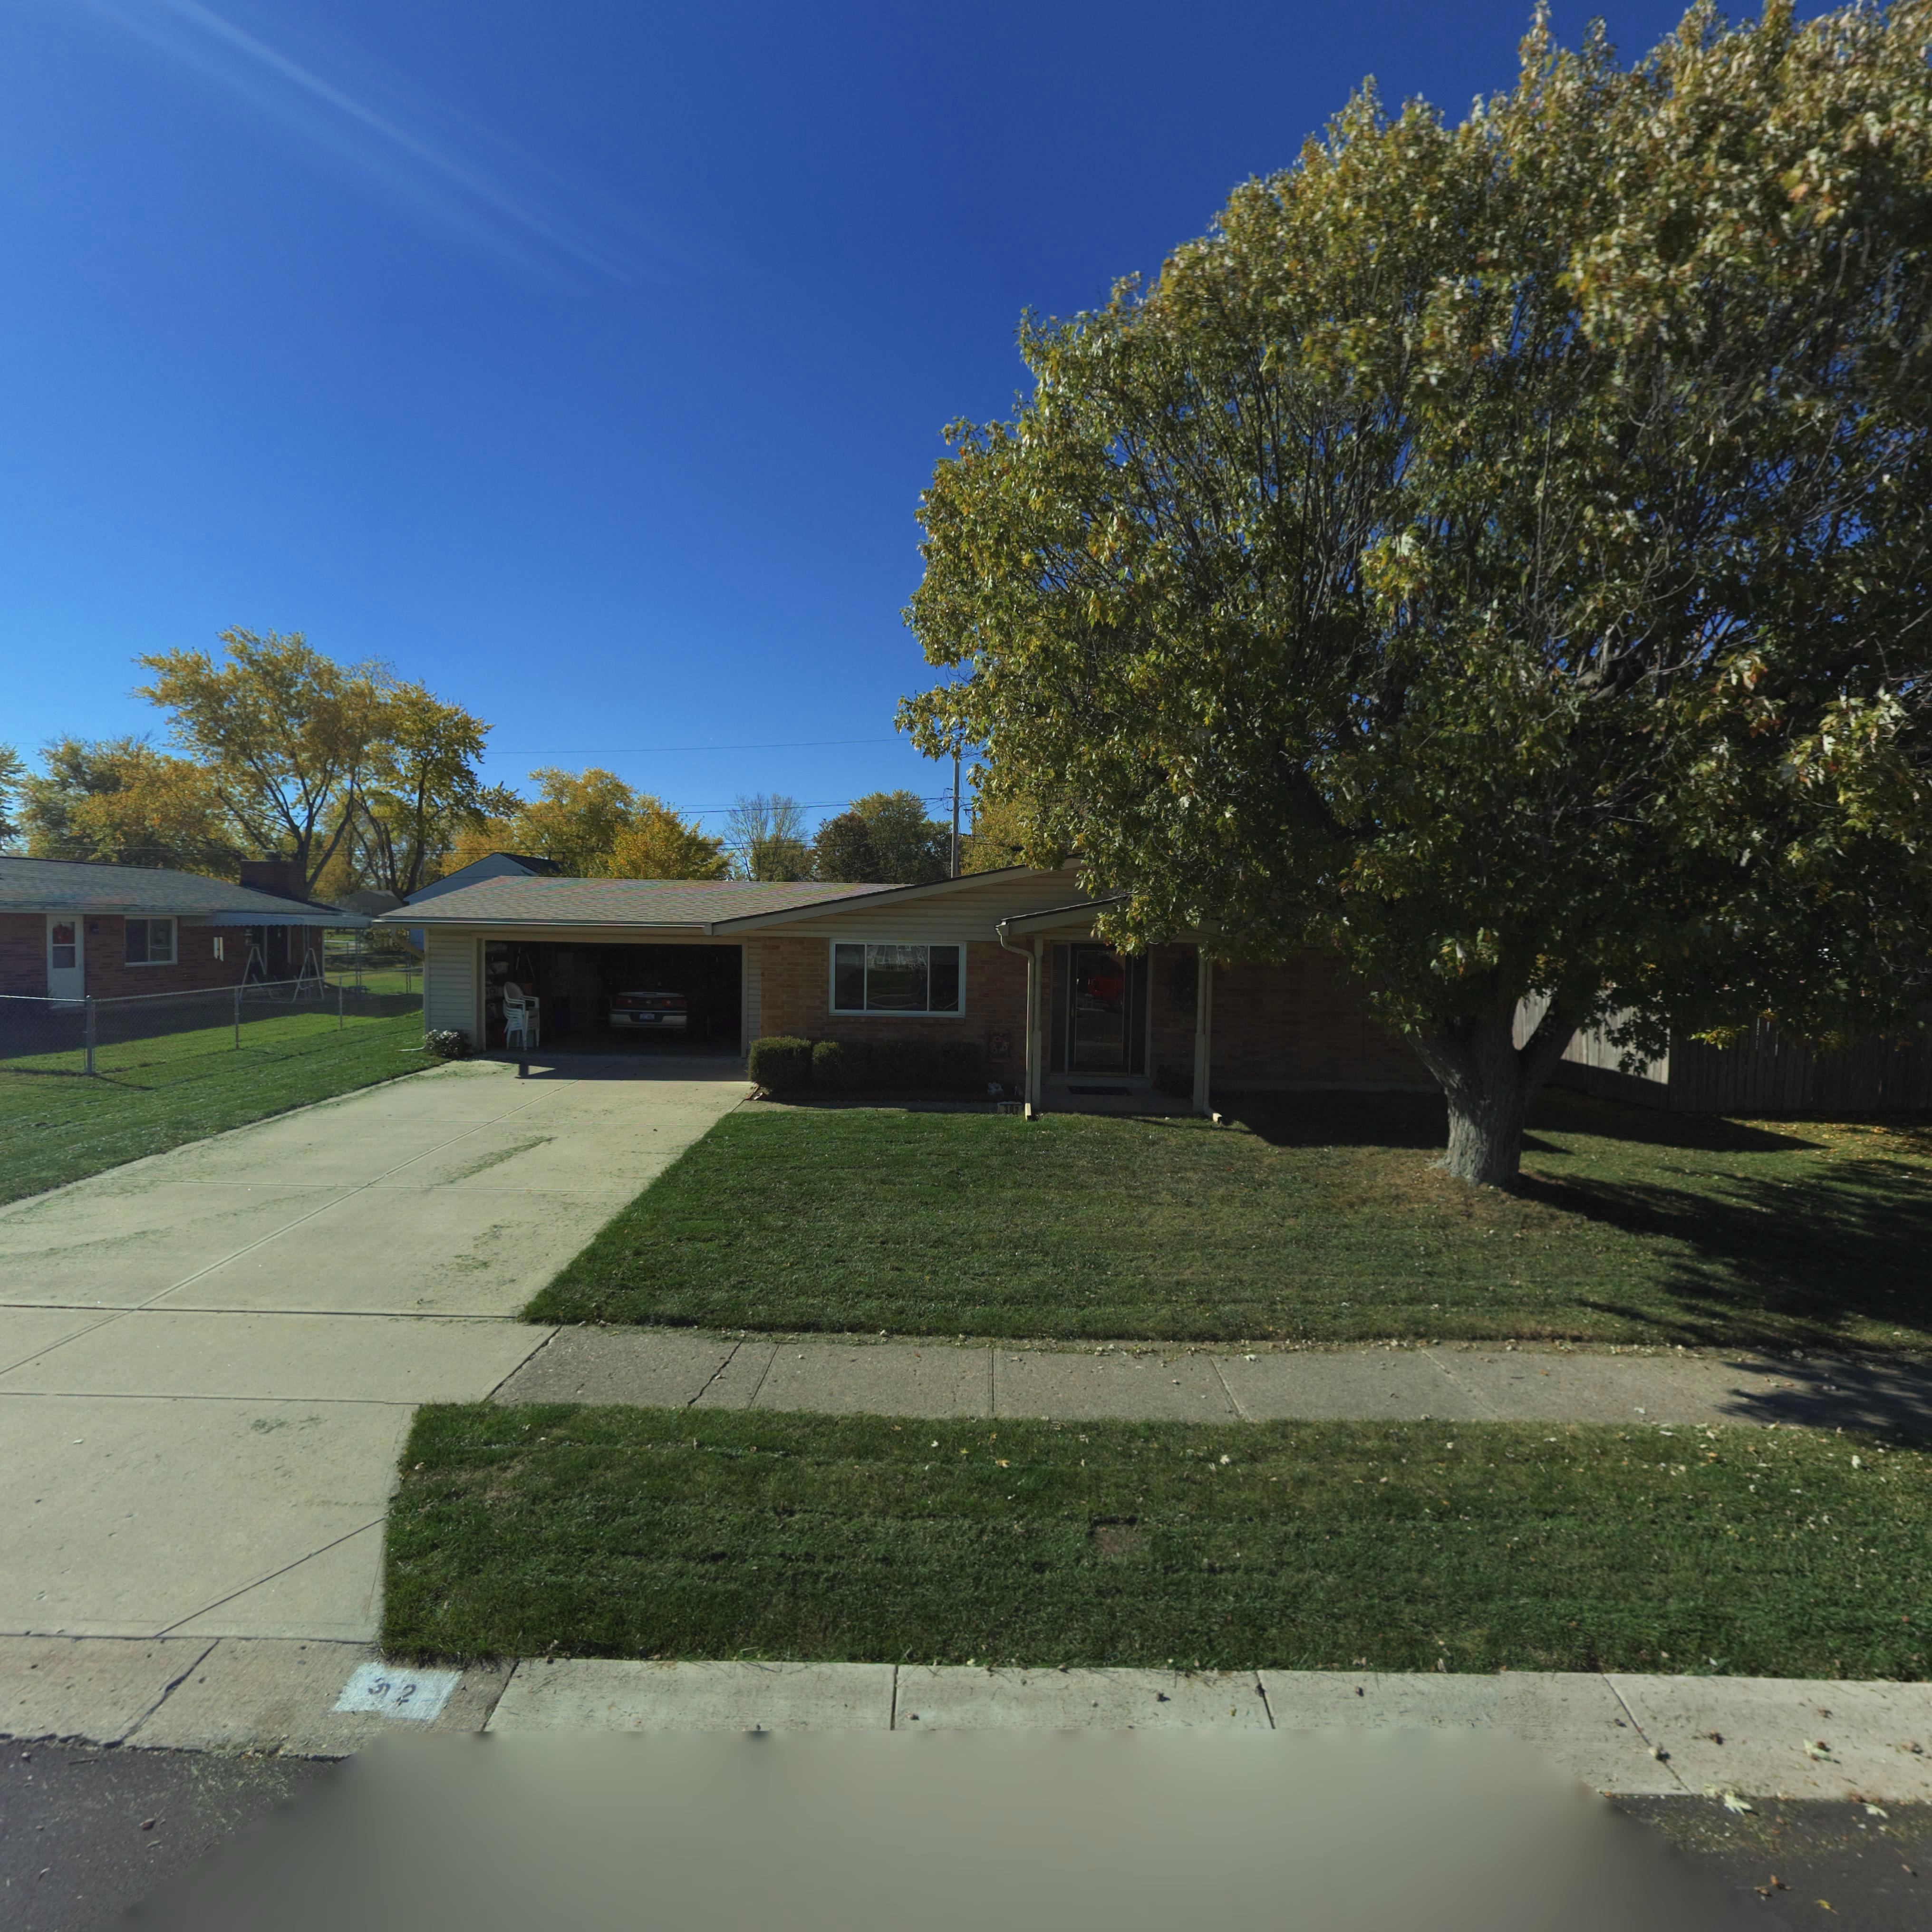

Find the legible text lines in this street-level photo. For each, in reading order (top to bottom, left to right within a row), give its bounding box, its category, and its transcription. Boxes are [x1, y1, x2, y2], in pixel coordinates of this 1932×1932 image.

[1003, 1104, 1020, 1115] StreetNumber: 302
[367, 1677, 387, 1696] StreetNumber: 3
[395, 1683, 417, 1703] StreetNumber: 2